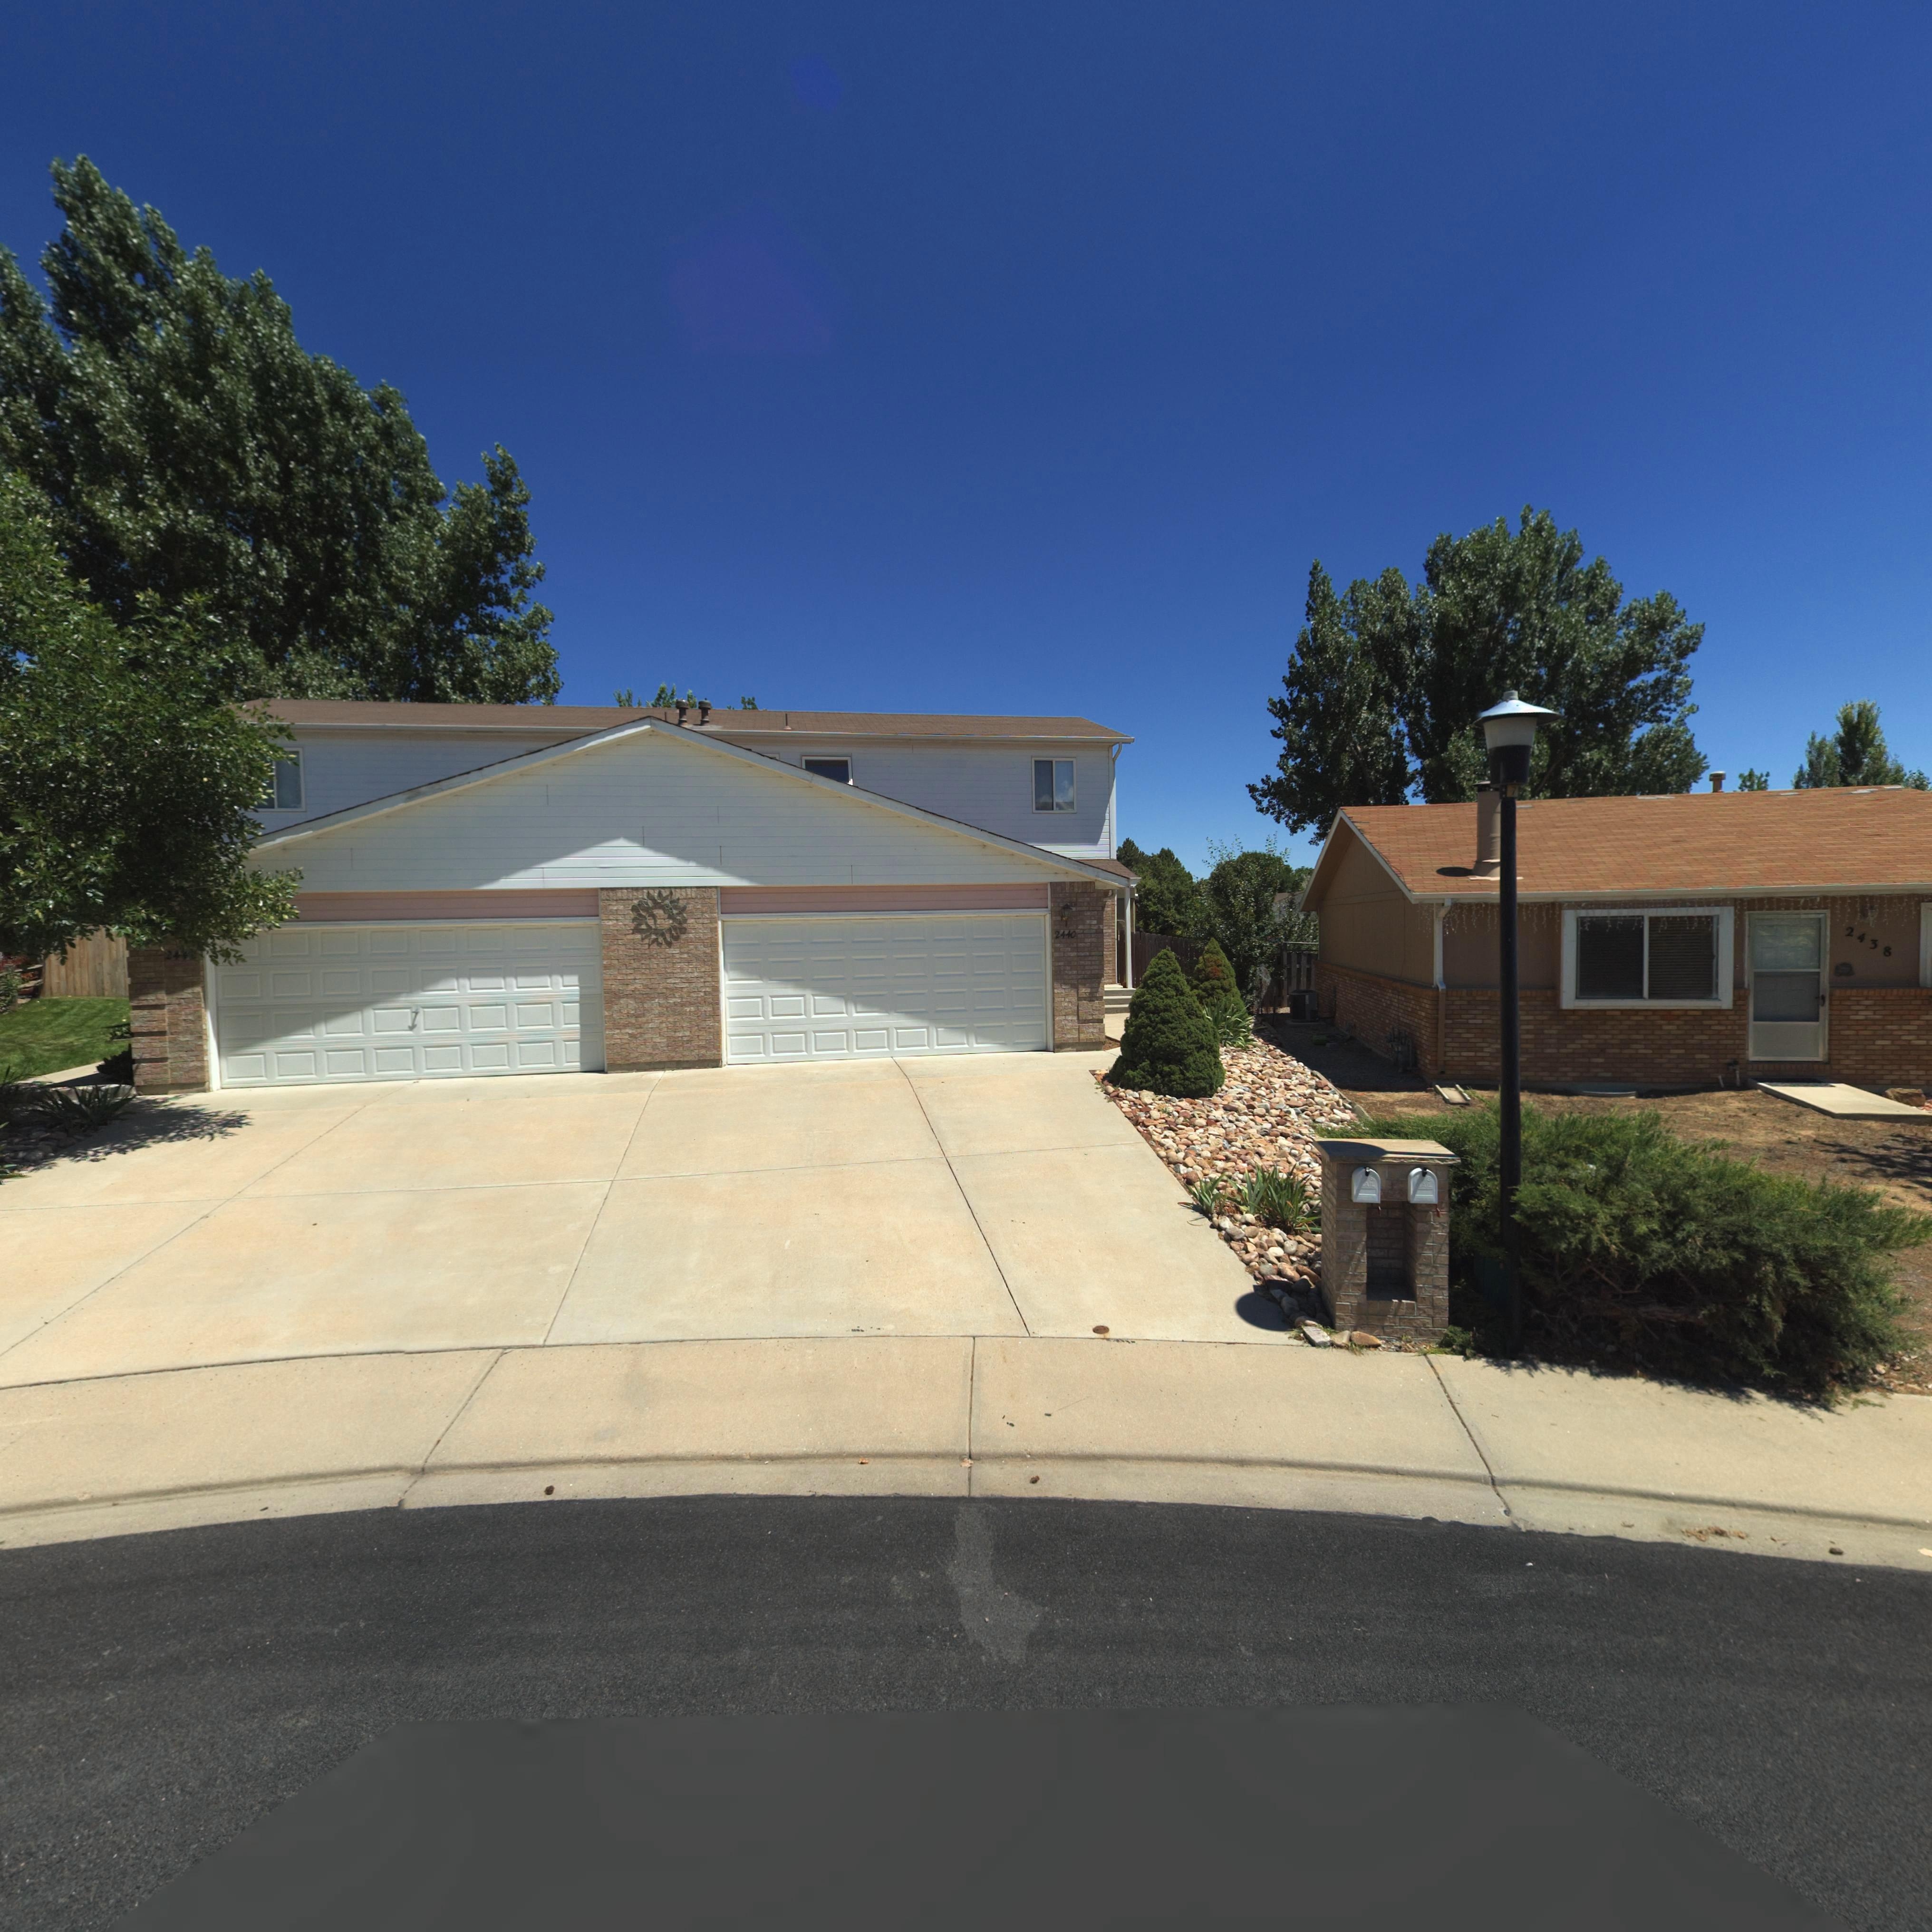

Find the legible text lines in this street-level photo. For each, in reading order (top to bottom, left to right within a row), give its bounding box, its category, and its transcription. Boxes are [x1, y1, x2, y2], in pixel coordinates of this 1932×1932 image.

[1054, 930, 1076, 939] StreetNumber: 2440
[1845, 926, 1892, 957] StreetNumber: 2438
[164, 949, 189, 960] StreetNumber: 244